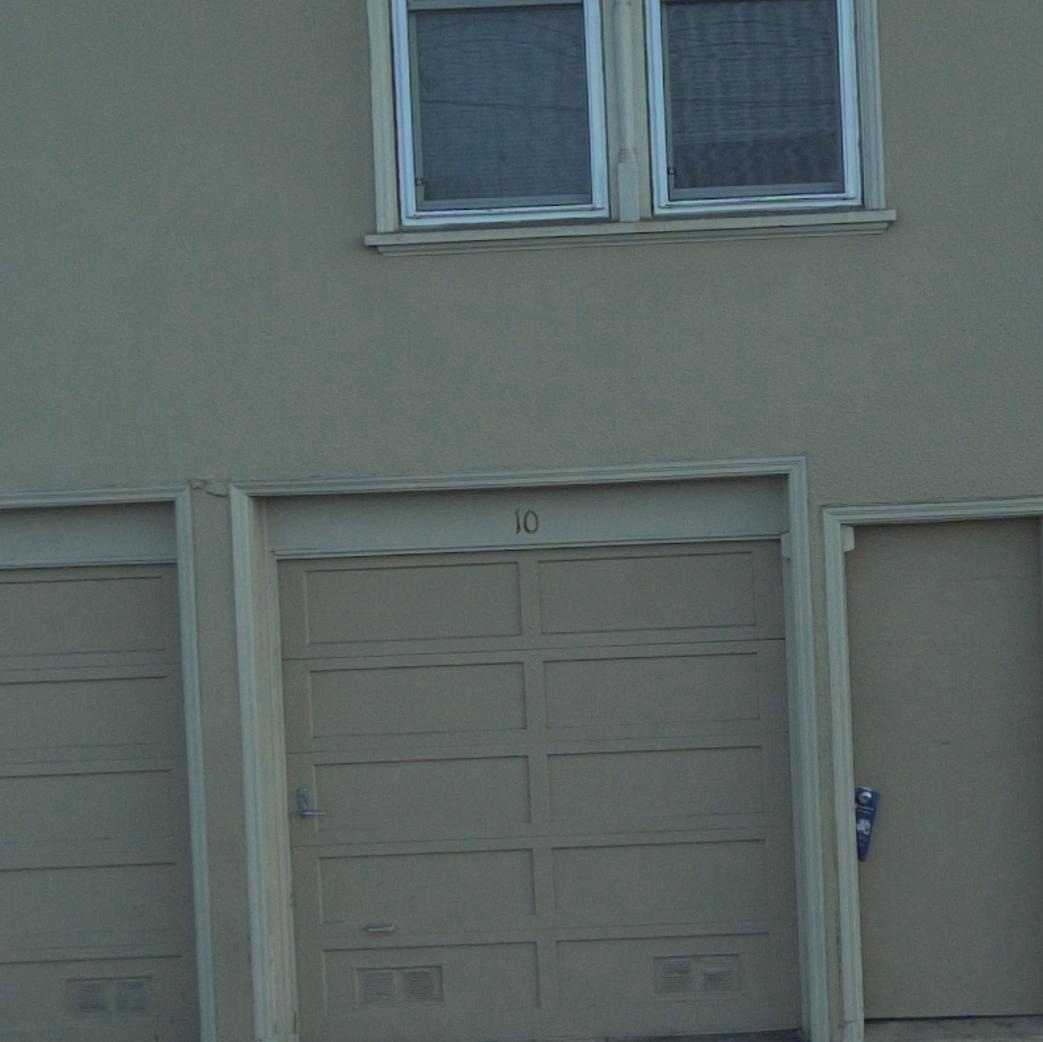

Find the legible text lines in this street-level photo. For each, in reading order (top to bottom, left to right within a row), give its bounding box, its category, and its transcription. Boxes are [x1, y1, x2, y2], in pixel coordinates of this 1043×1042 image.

[512, 505, 542, 538] StreetNumber: 10